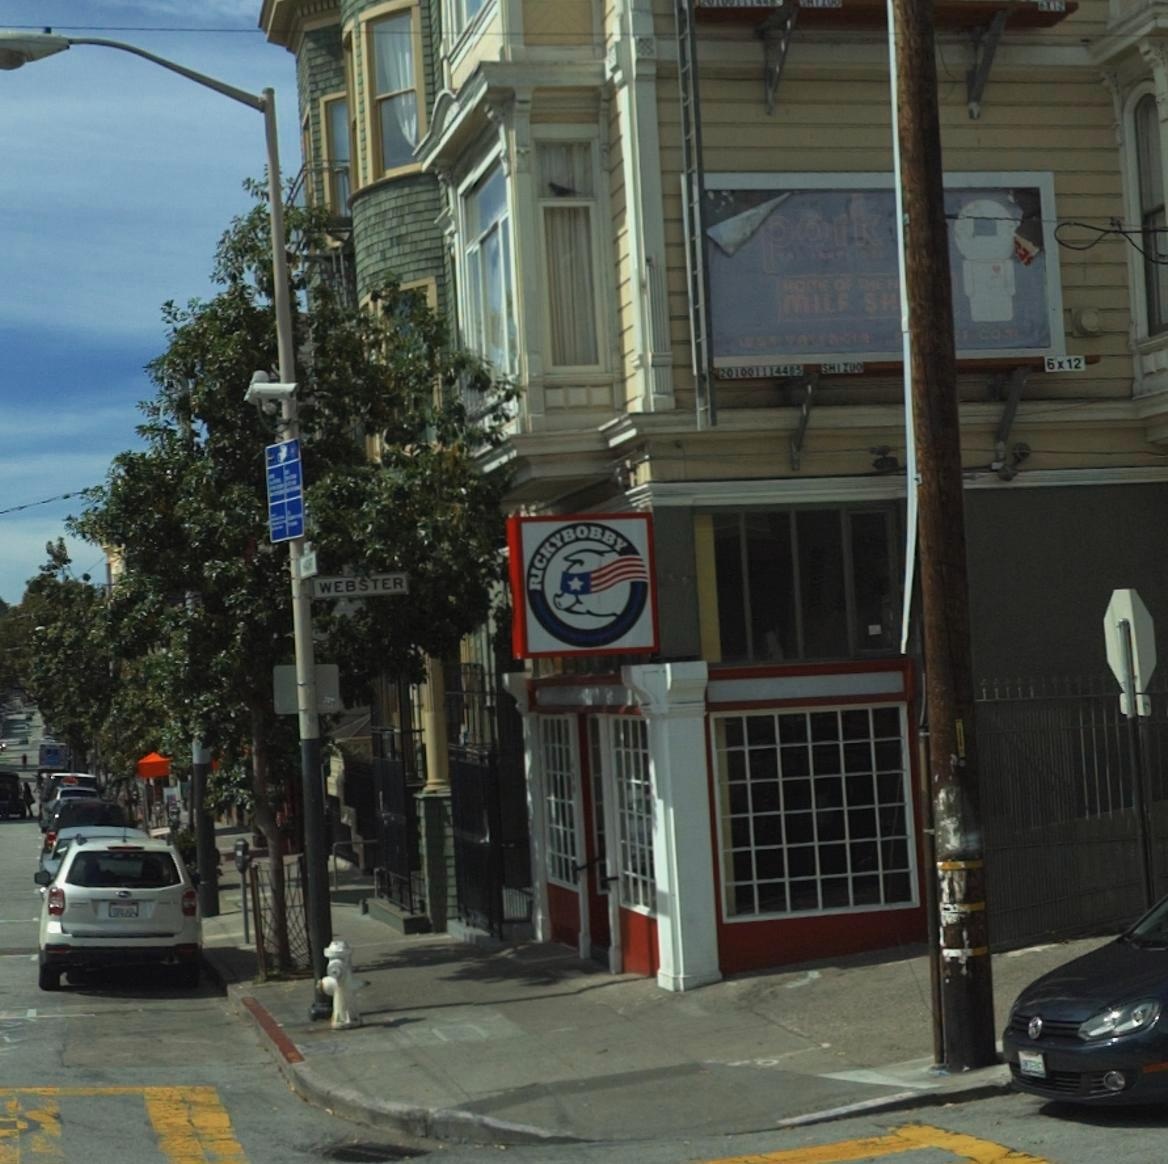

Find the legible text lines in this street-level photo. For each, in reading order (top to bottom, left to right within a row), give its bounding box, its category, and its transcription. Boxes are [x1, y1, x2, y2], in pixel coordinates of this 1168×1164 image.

[758, 196, 890, 277] None: pork
[781, 275, 888, 295] None: HOME OF THE
[781, 289, 902, 317] None: MILF SH
[975, 325, 1003, 346] None: CO
[718, 363, 803, 380] None: 201001114485
[820, 361, 865, 376] None: SHIZUO
[1044, 354, 1085, 372] None: 6x12
[528, 523, 633, 593] BusinessName: RICKYBOBBY
[314, 574, 405, 596] StreetName: WEBSTER